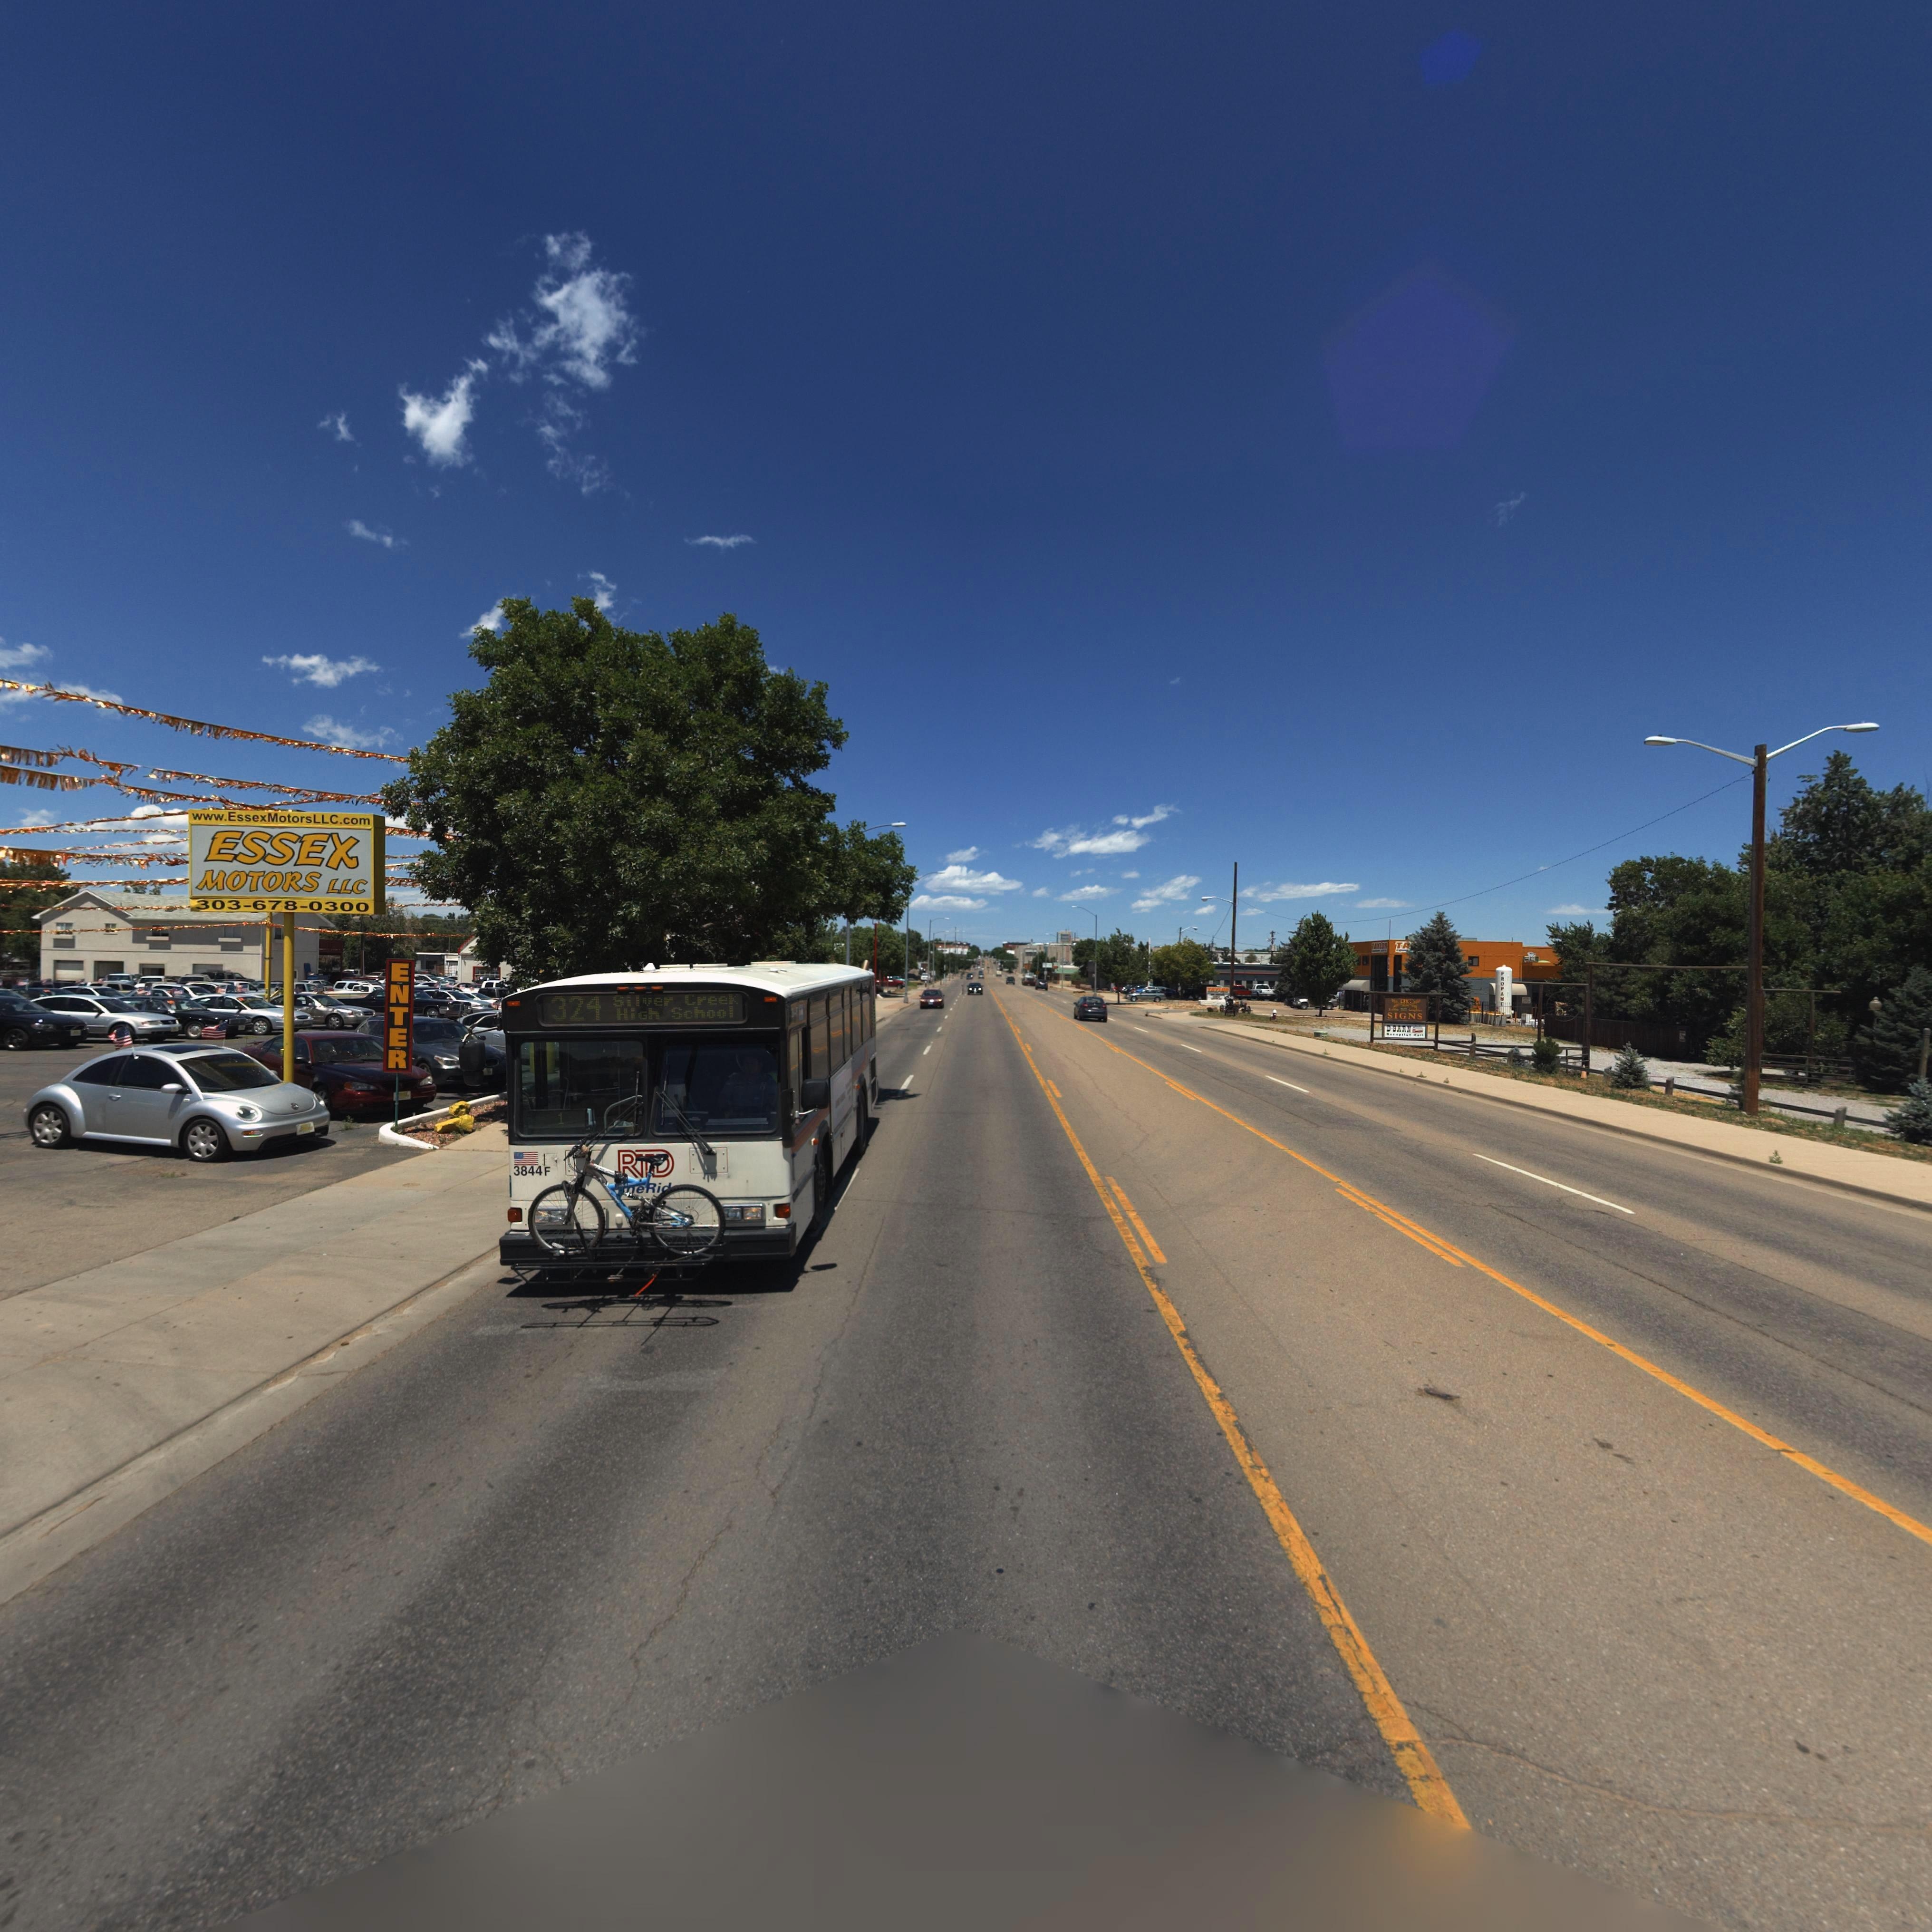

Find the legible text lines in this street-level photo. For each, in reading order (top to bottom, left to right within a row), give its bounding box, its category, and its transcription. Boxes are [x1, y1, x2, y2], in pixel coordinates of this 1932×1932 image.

[202, 830, 361, 872] BusinessName: ESSEX
[192, 868, 368, 895] StreetNumber: MOTORS LLC
[1371, 941, 1387, 949] StreetNumber: TAYLOR
[1396, 941, 1410, 949] BusinessName: TA
[1207, 987, 1229, 992] BusinessName: TAYLOR
[1400, 998, 1411, 1005] BusinessName: RHG
[1388, 1007, 1423, 1013] BusinessName: Robbie Hill Graphics
[1386, 1024, 1411, 1033] BusinessName: D-BARN